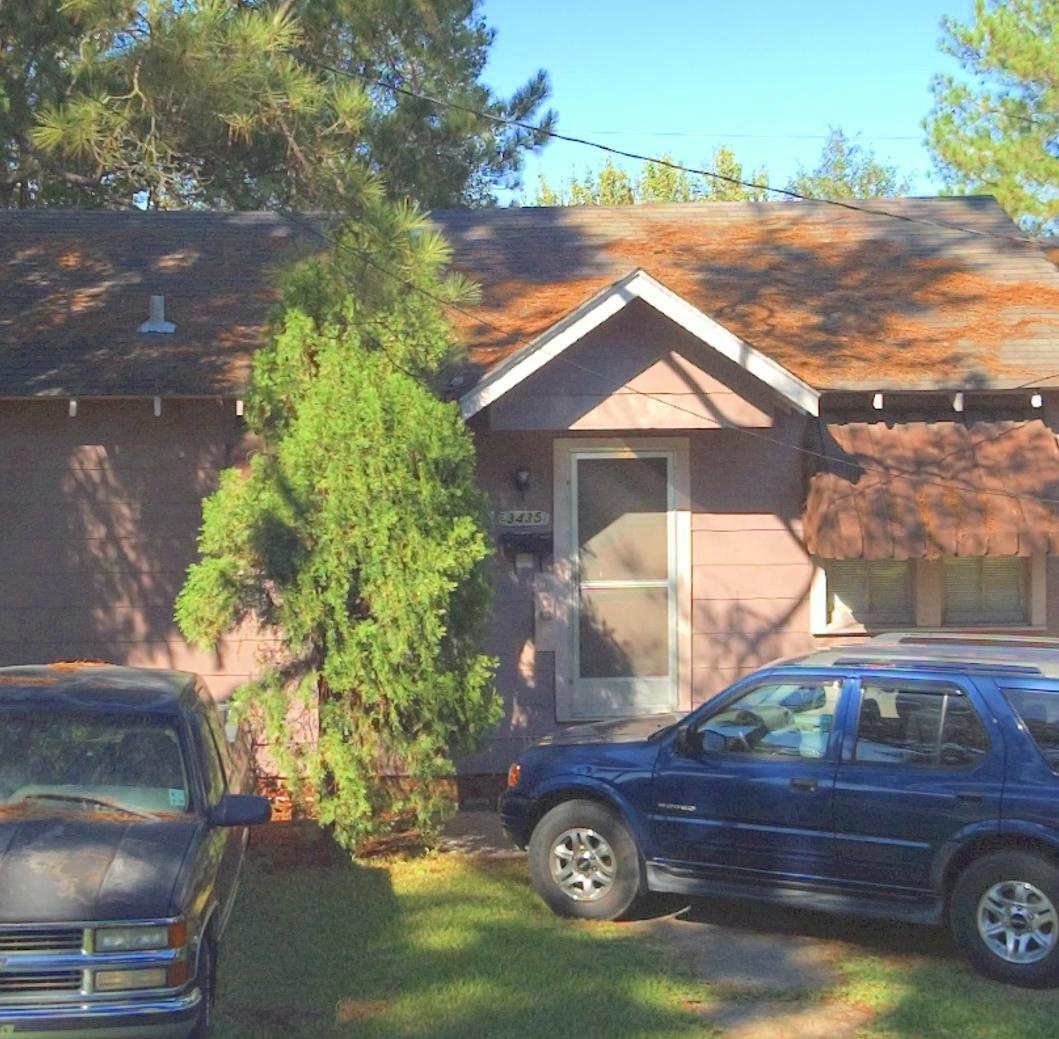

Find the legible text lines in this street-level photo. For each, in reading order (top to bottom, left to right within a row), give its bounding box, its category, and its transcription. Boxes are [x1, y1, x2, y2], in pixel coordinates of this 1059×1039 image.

[506, 511, 543, 526] StreetNumber: 3435